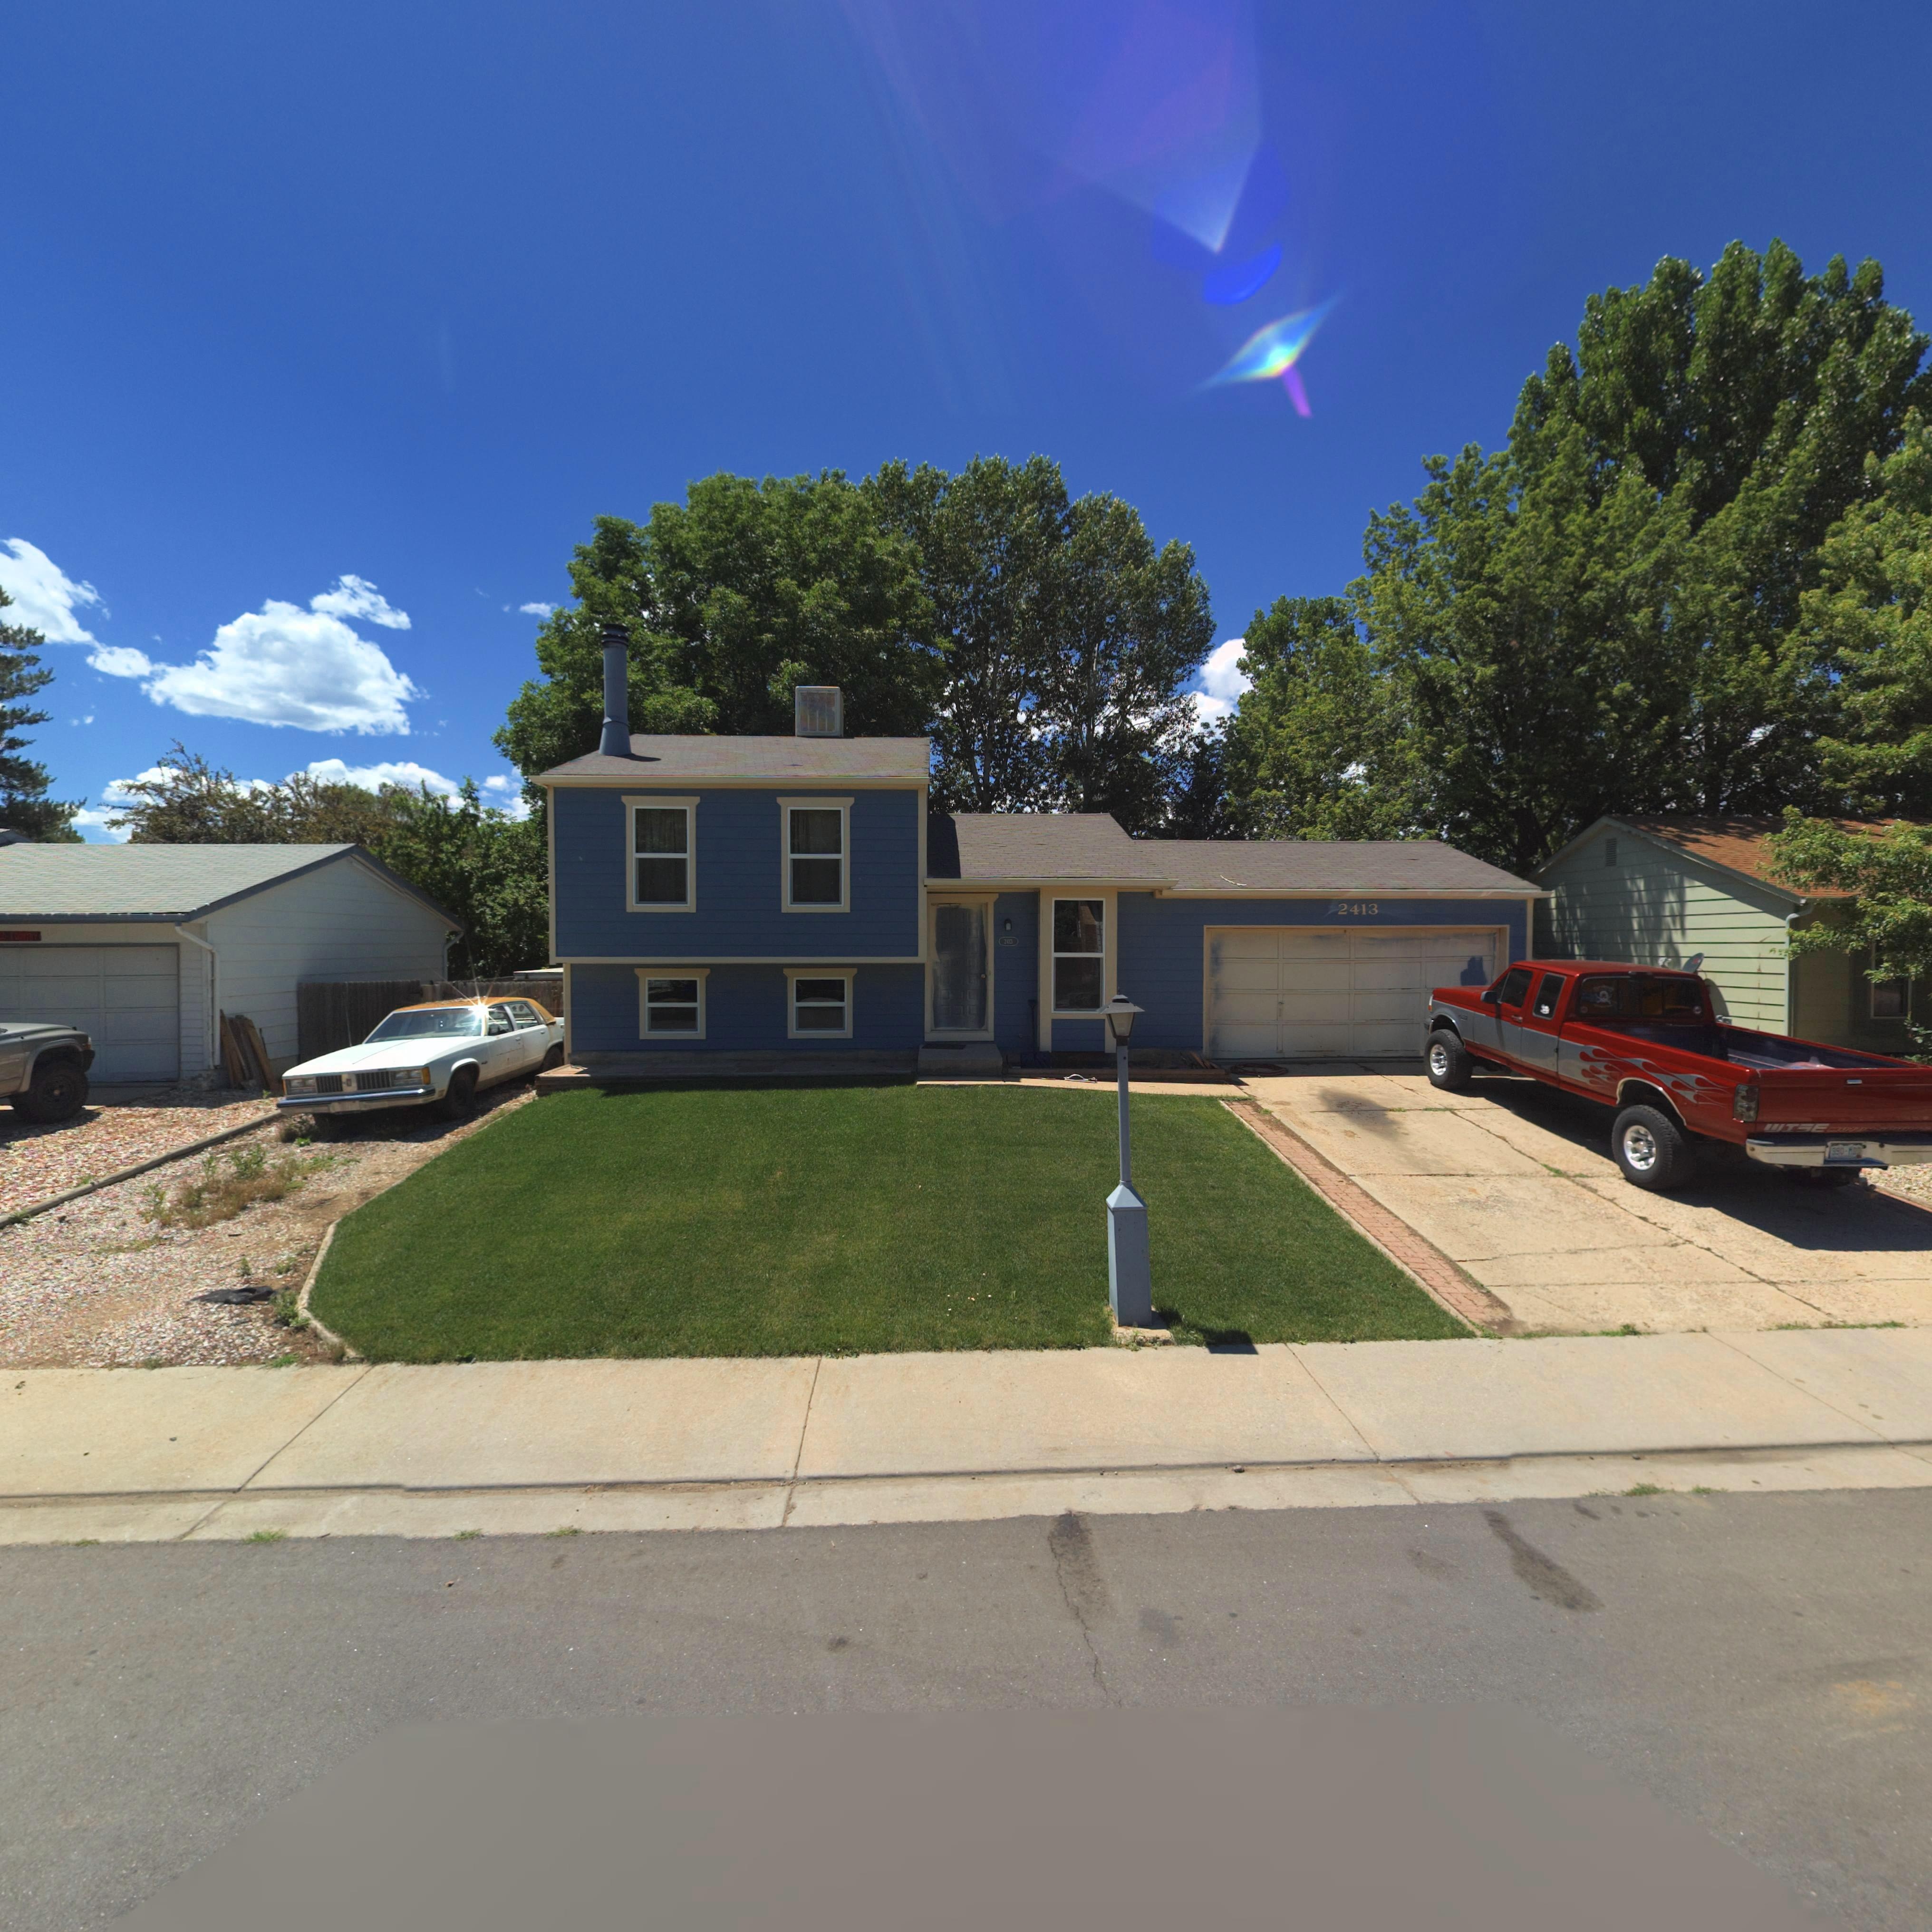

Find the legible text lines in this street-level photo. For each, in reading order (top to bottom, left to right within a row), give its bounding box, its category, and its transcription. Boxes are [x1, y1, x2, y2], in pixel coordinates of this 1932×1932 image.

[1337, 902, 1379, 915] StreetNumber: 2413
[1004, 938, 1012, 944] StreetNumber: 2413